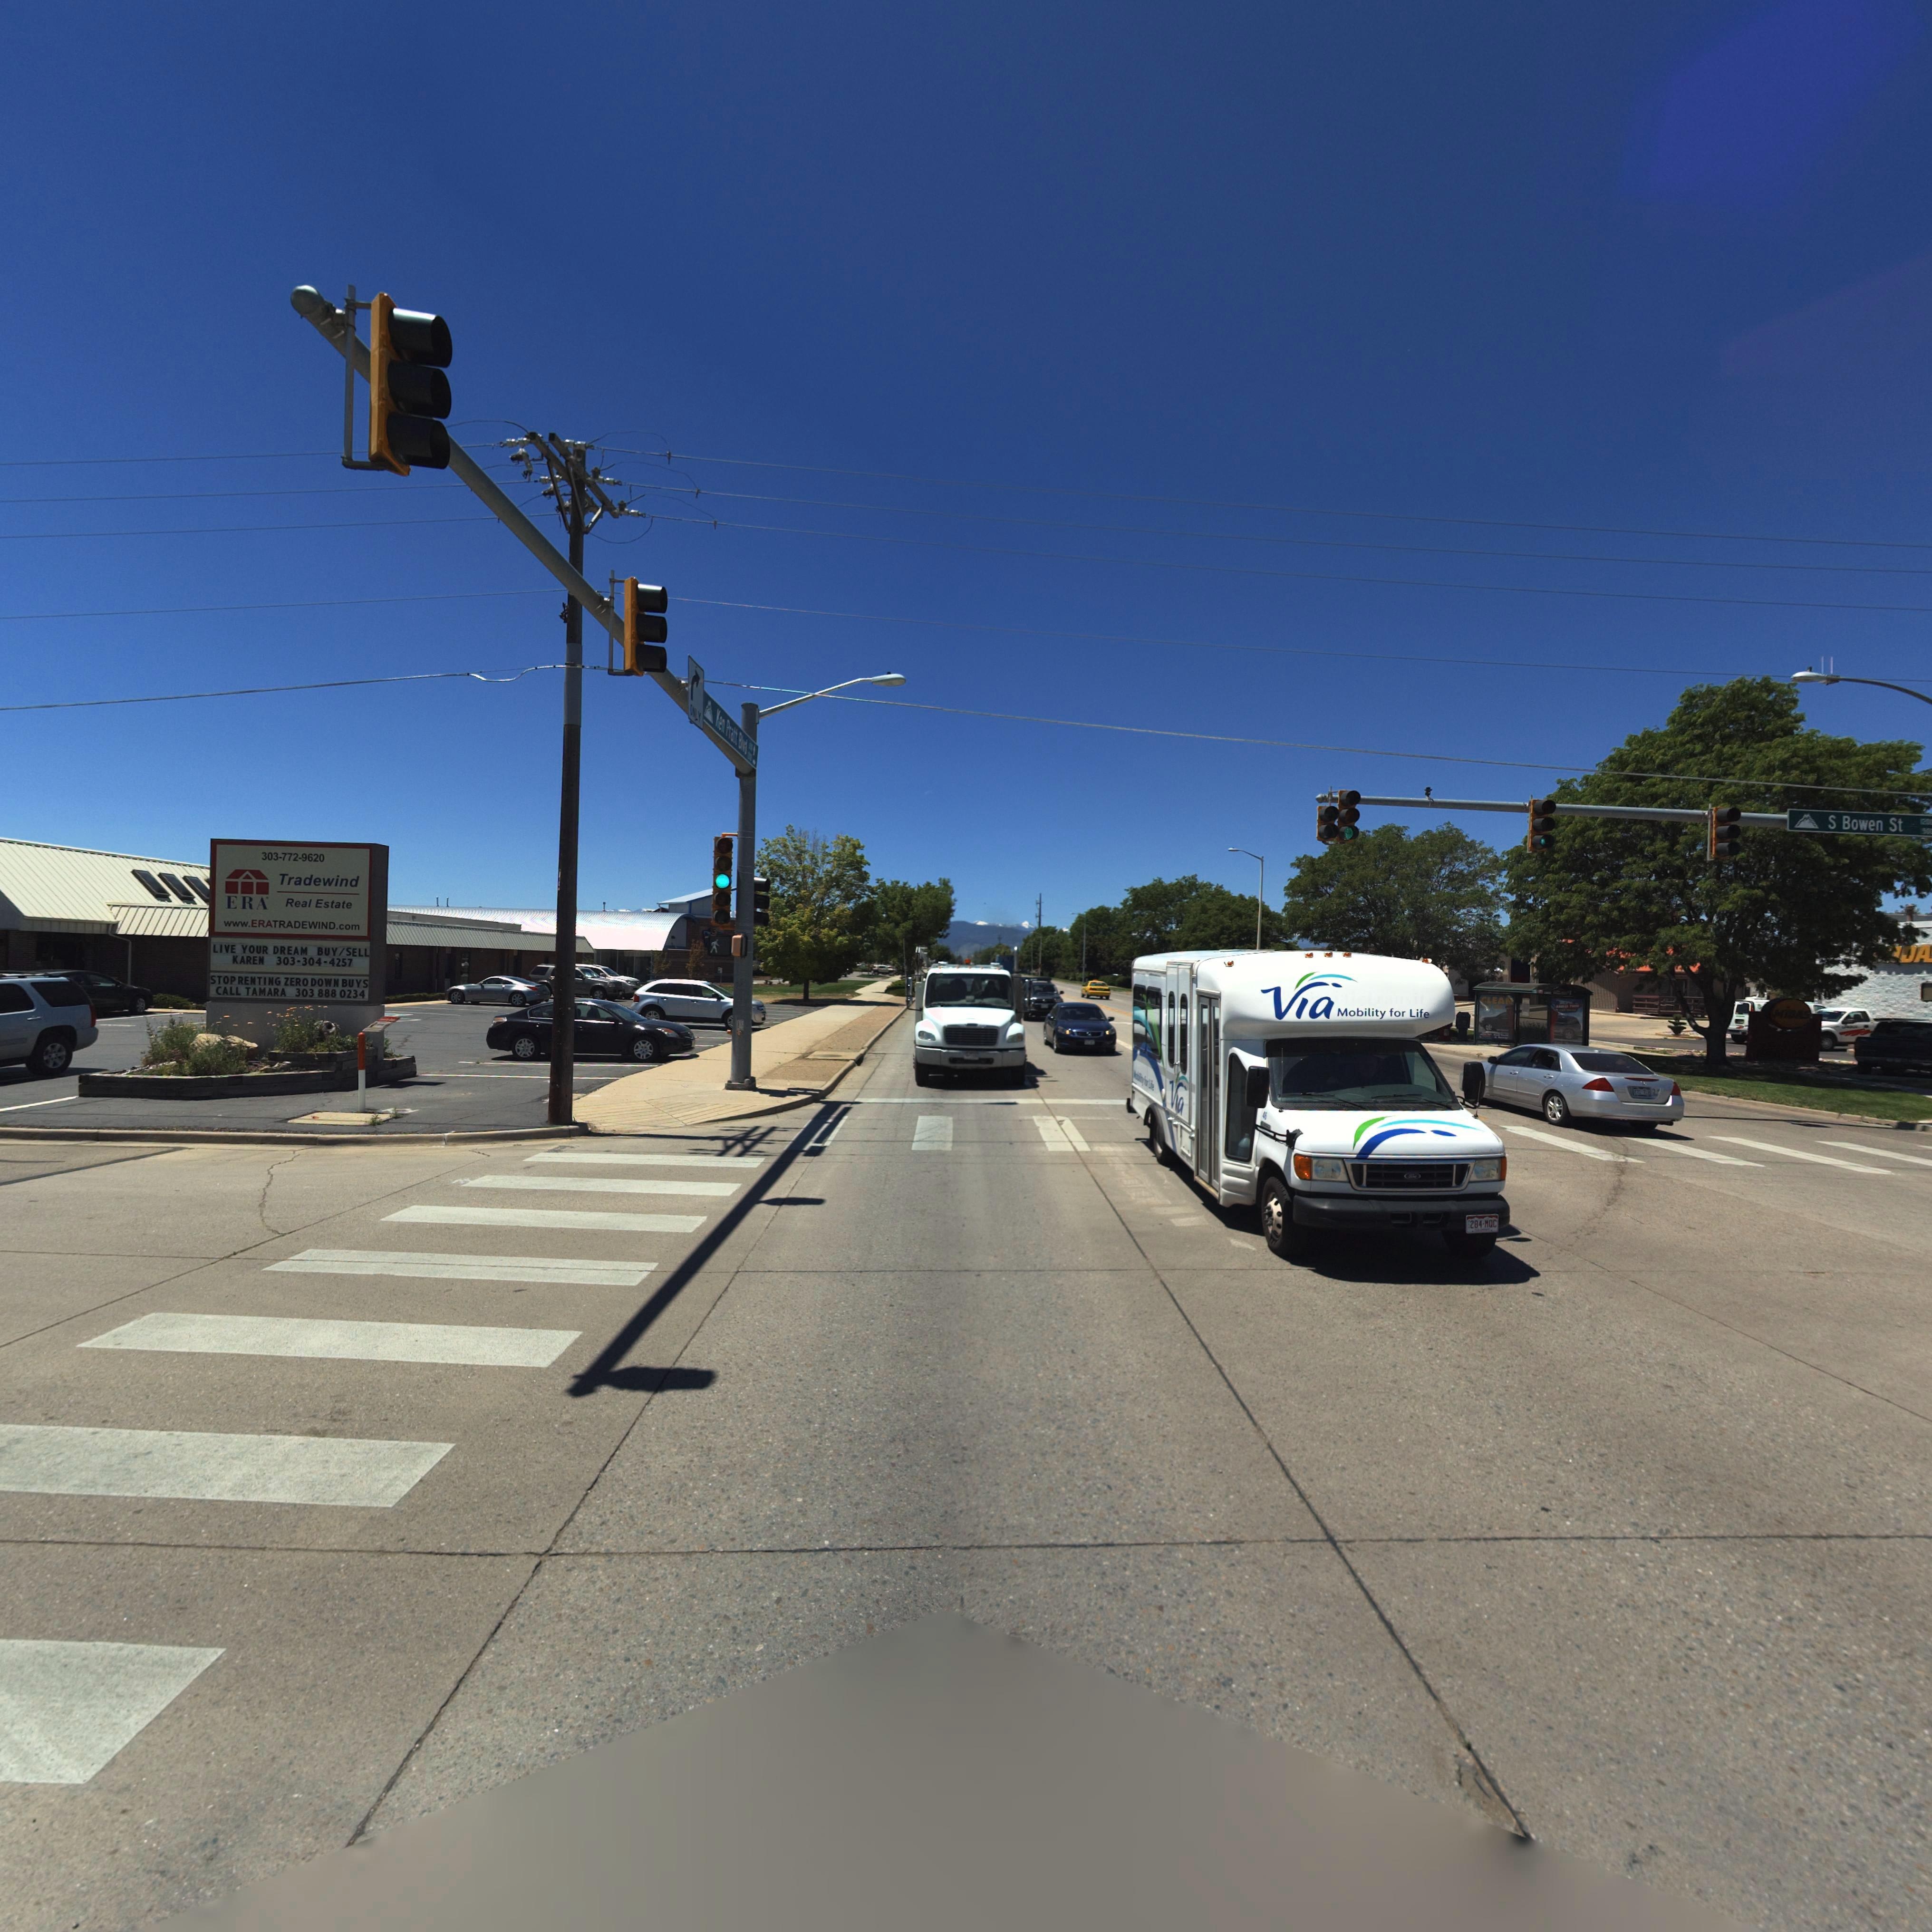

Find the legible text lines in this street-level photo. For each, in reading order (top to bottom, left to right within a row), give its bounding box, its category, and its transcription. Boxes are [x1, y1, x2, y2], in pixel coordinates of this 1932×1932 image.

[715, 707, 748, 756] StreetName: Ken Pratt Blvd
[1827, 814, 1904, 832] StreetName: S Bowen St
[1919, 818, 1931, 825] StreetNumberRange: 120
[1922, 827, 1931, 834] StreetNumberRange: 50
[278, 872, 360, 888] BusinessName: Tradewind
[225, 895, 270, 910] BusinessName: ERA
[284, 898, 353, 909] BusinessName: Real Estate
[1897, 944, 1931, 963] BusinessName: DA
[1772, 1004, 1811, 1020] BusinessName: MiDAS